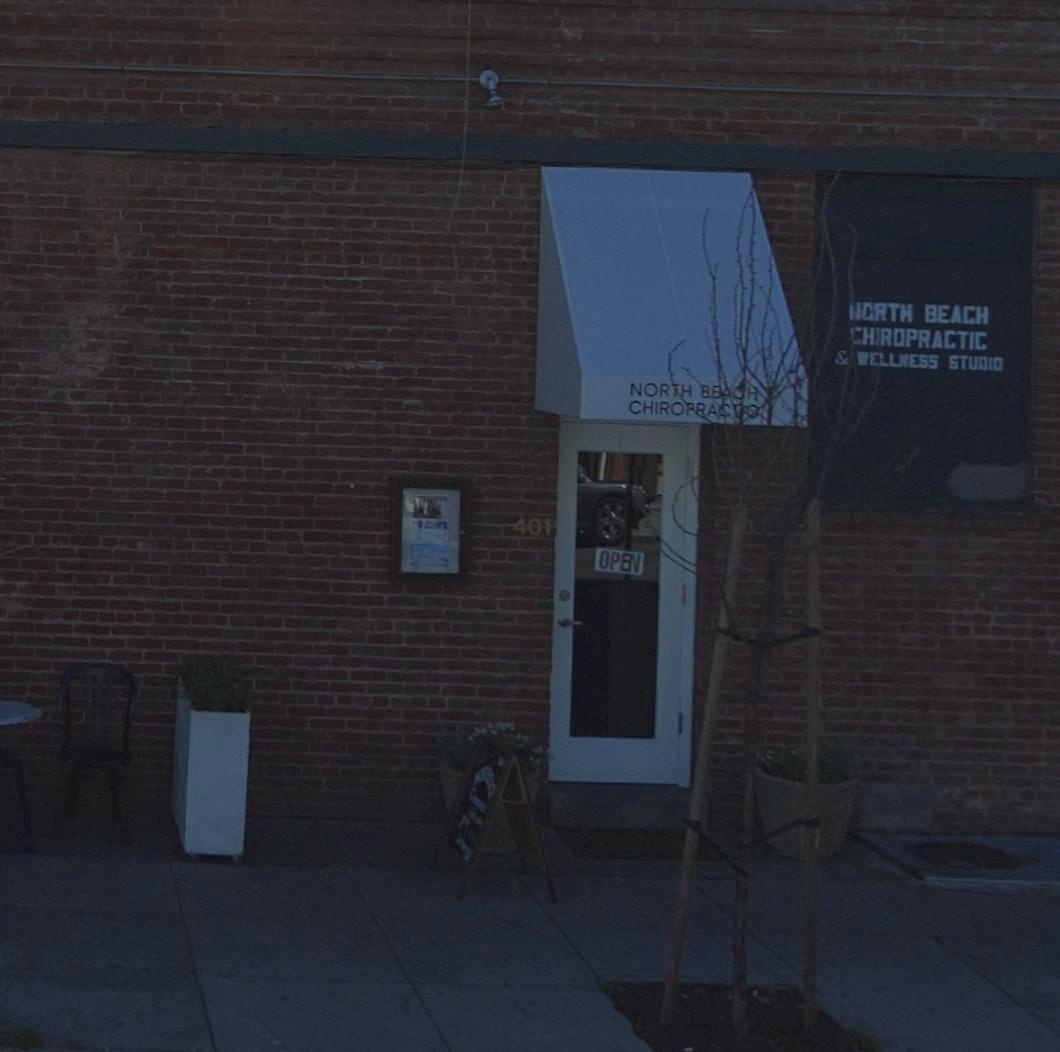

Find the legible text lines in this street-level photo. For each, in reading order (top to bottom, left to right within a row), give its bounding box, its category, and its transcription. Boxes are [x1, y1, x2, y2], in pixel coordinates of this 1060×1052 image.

[847, 300, 991, 328] BusinessName: *ORTH BEACH
[847, 324, 991, 352] BusinessName: CHIROPRACTIC
[832, 349, 1005, 373] BusinessName: & WELLNESS STUDIO
[629, 381, 760, 403] BusinessName: NORTH B***H
[625, 399, 764, 419] BusinessName: CHIRO*RAC***
[510, 516, 552, 537] StreetNumber: 401
[597, 548, 642, 574] None: OPEN